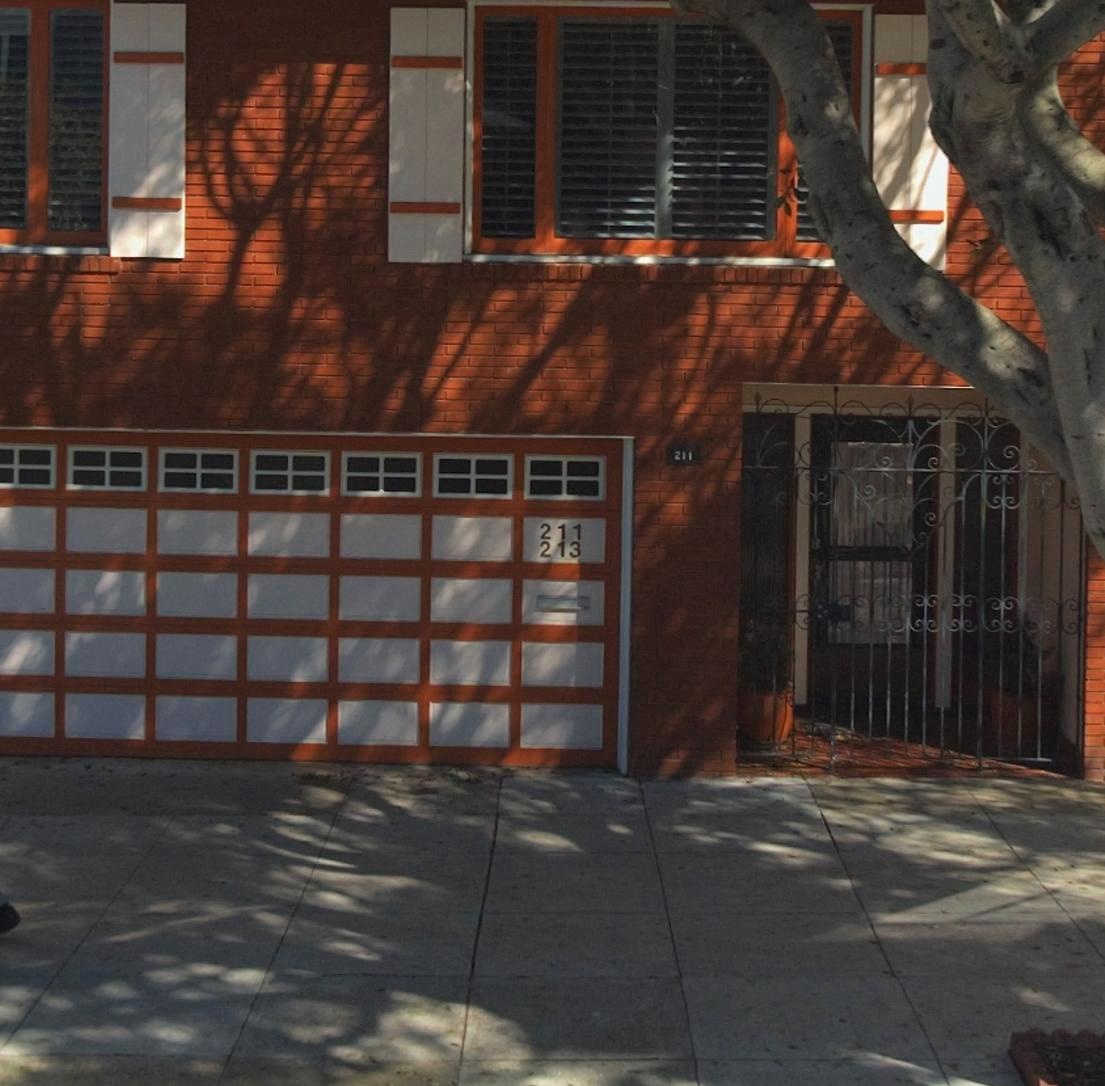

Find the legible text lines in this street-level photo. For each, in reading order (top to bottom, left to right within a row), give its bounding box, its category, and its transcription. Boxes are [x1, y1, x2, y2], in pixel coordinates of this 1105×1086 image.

[674, 449, 694, 461] StreetNumber: 211
[538, 521, 583, 541] StreetNumber: 211
[539, 540, 582, 558] StreetNumber: 213